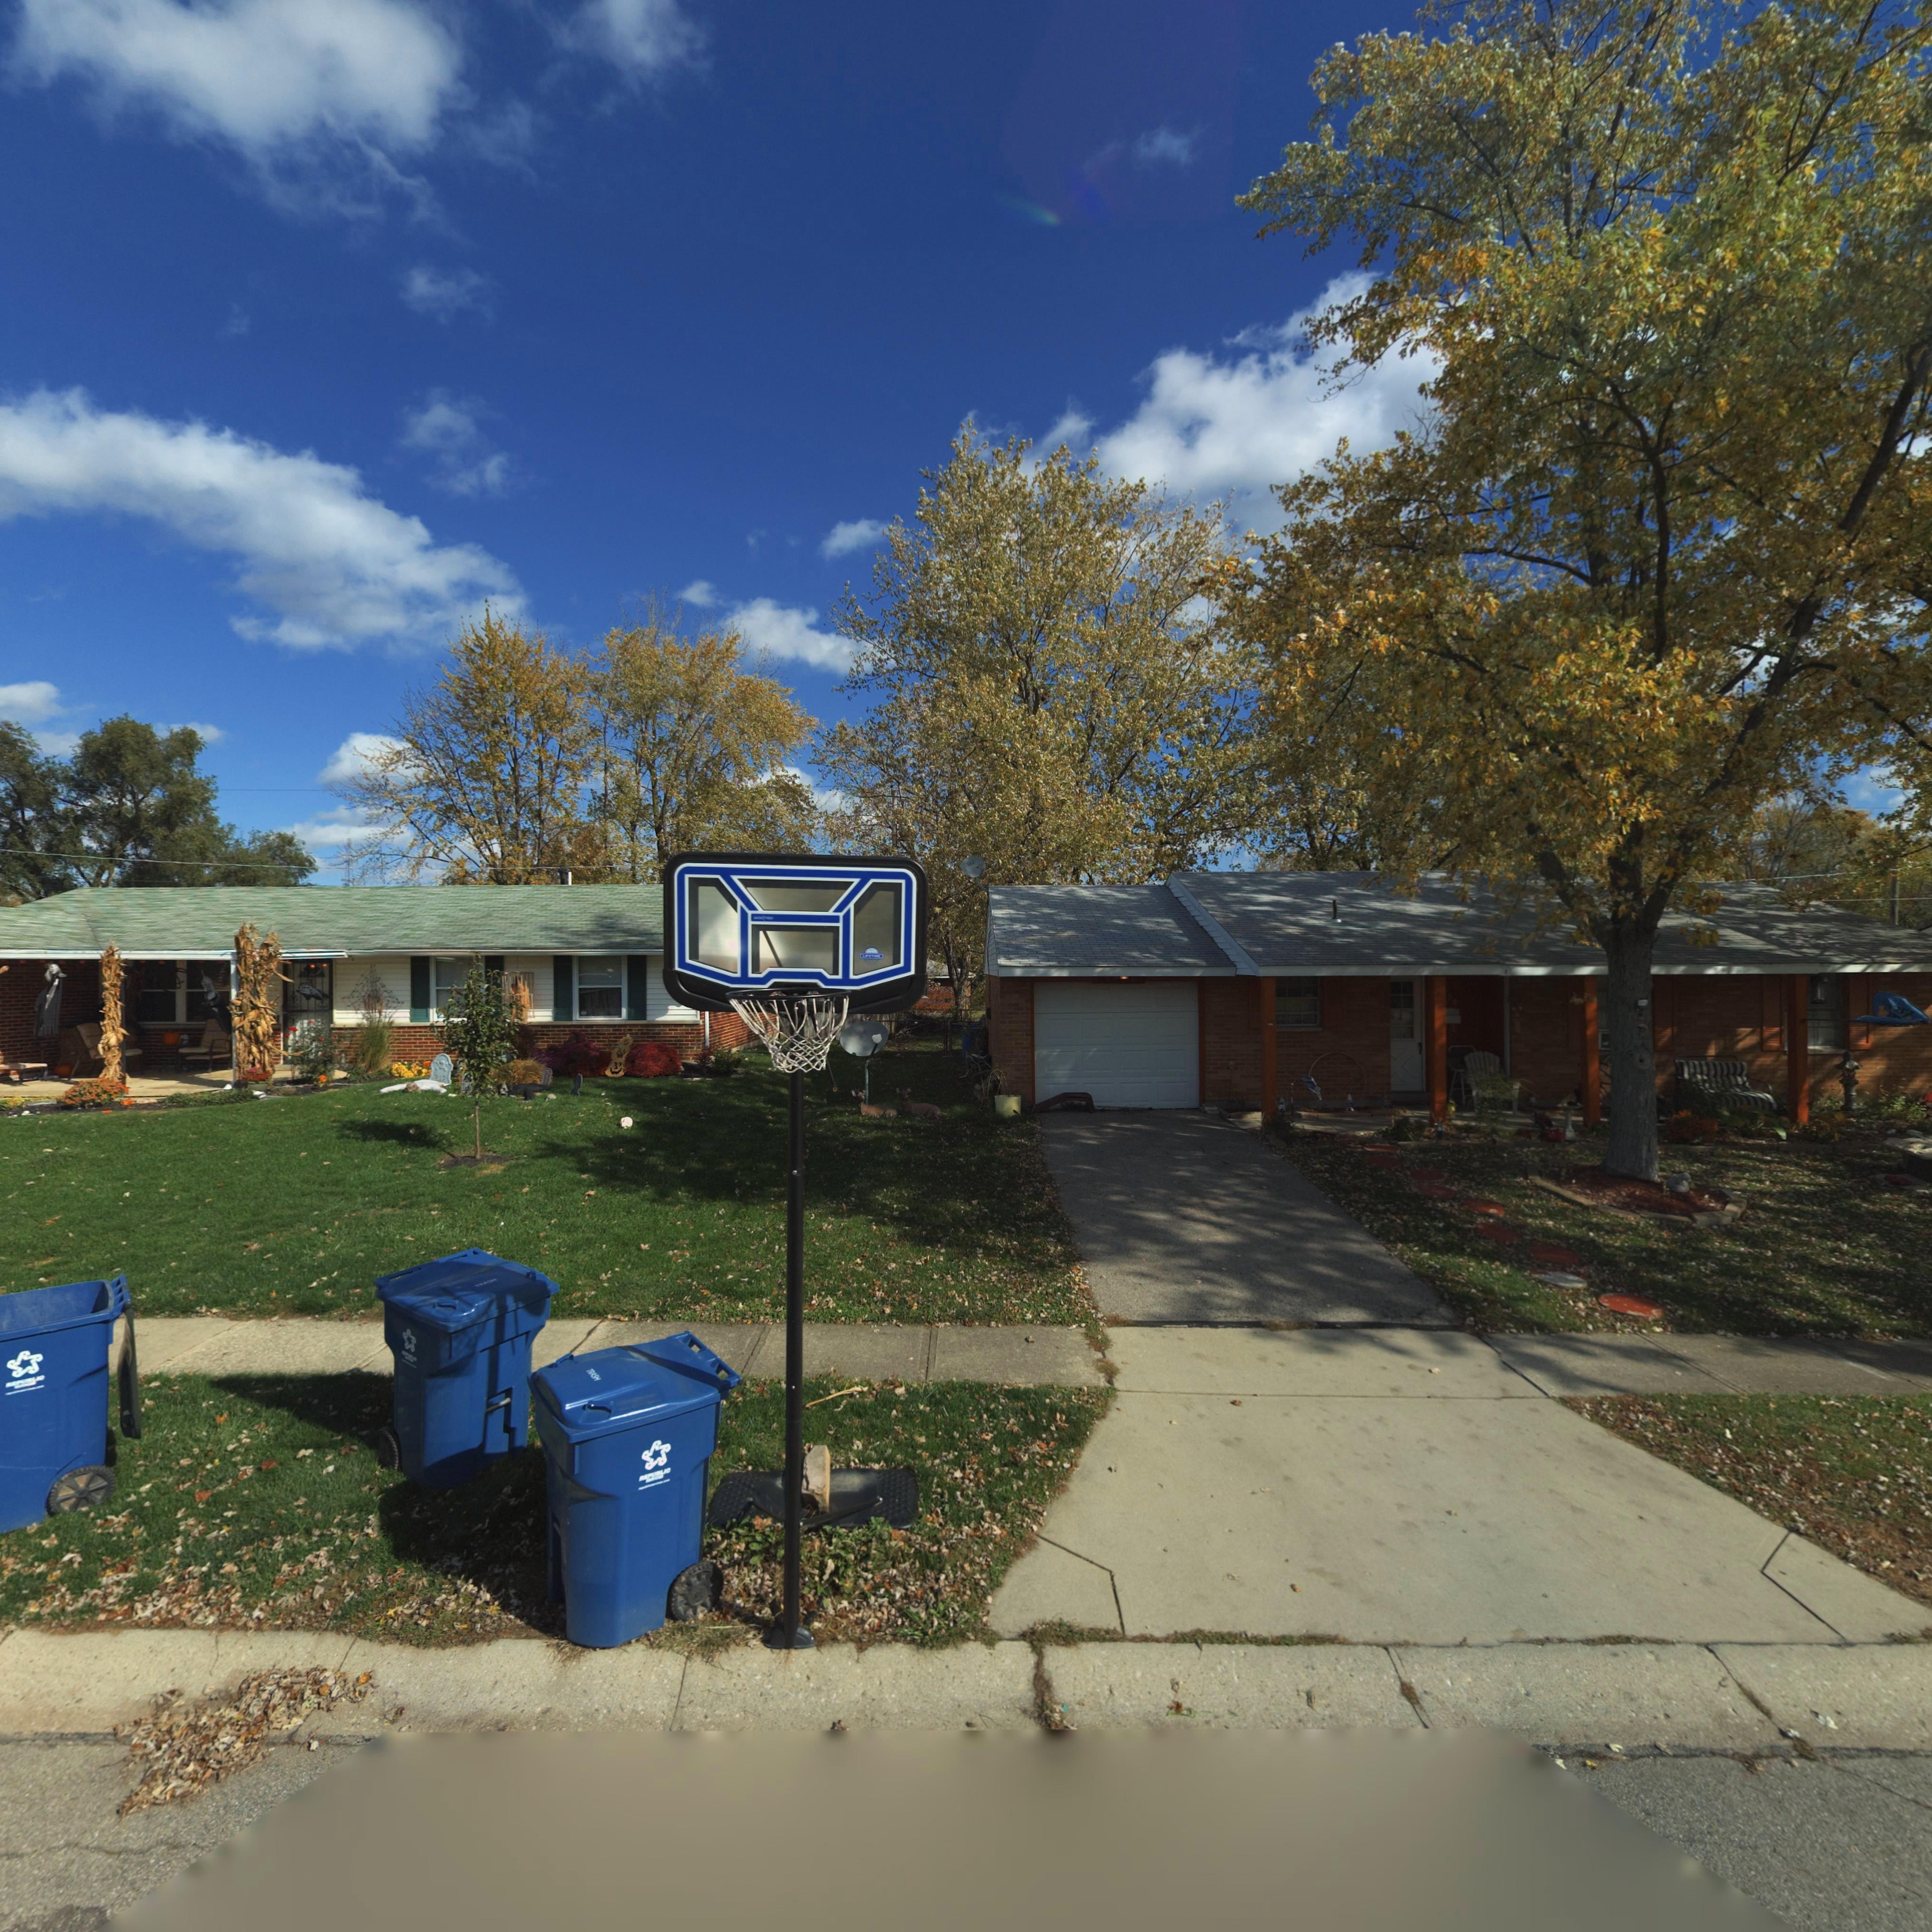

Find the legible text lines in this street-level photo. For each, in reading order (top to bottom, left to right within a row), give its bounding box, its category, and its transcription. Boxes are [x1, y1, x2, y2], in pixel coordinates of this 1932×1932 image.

[1446, 991, 1458, 1006] StreetNumber: 30